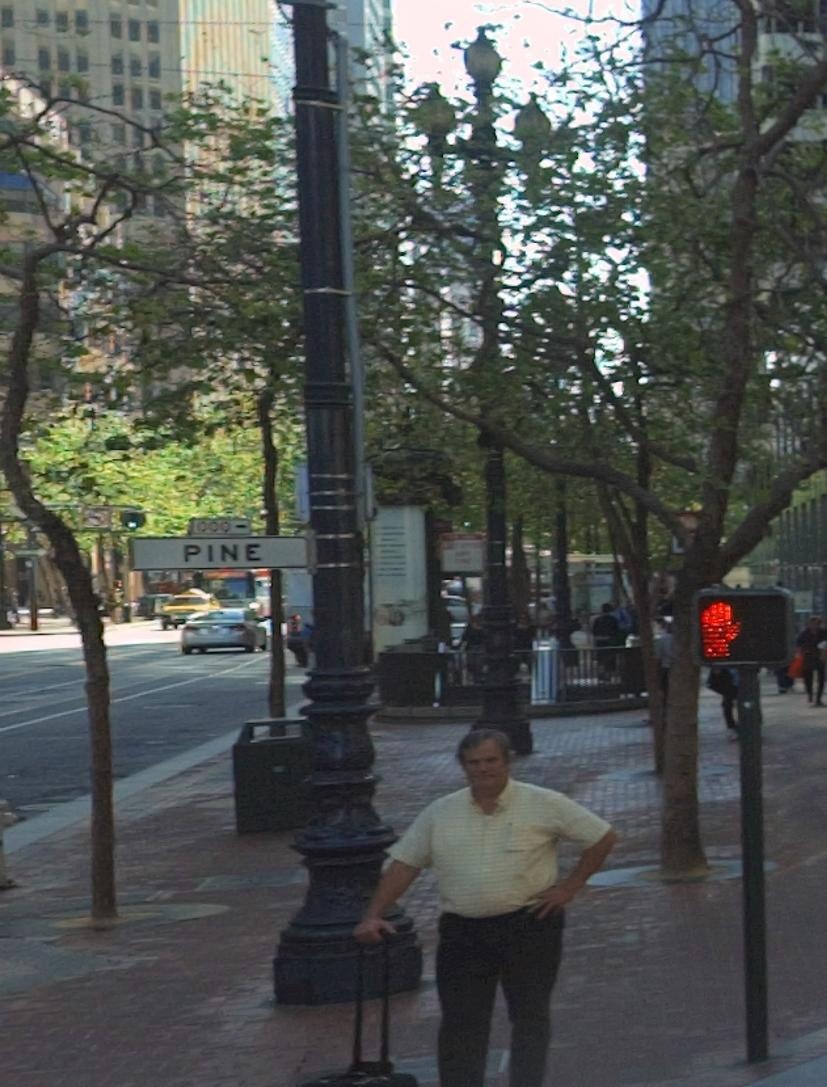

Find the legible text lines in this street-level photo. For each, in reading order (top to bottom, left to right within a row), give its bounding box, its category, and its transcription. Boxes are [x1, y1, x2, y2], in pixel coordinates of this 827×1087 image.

[193, 518, 250, 535] None: 000->
[181, 540, 264, 566] StreetName: PINE